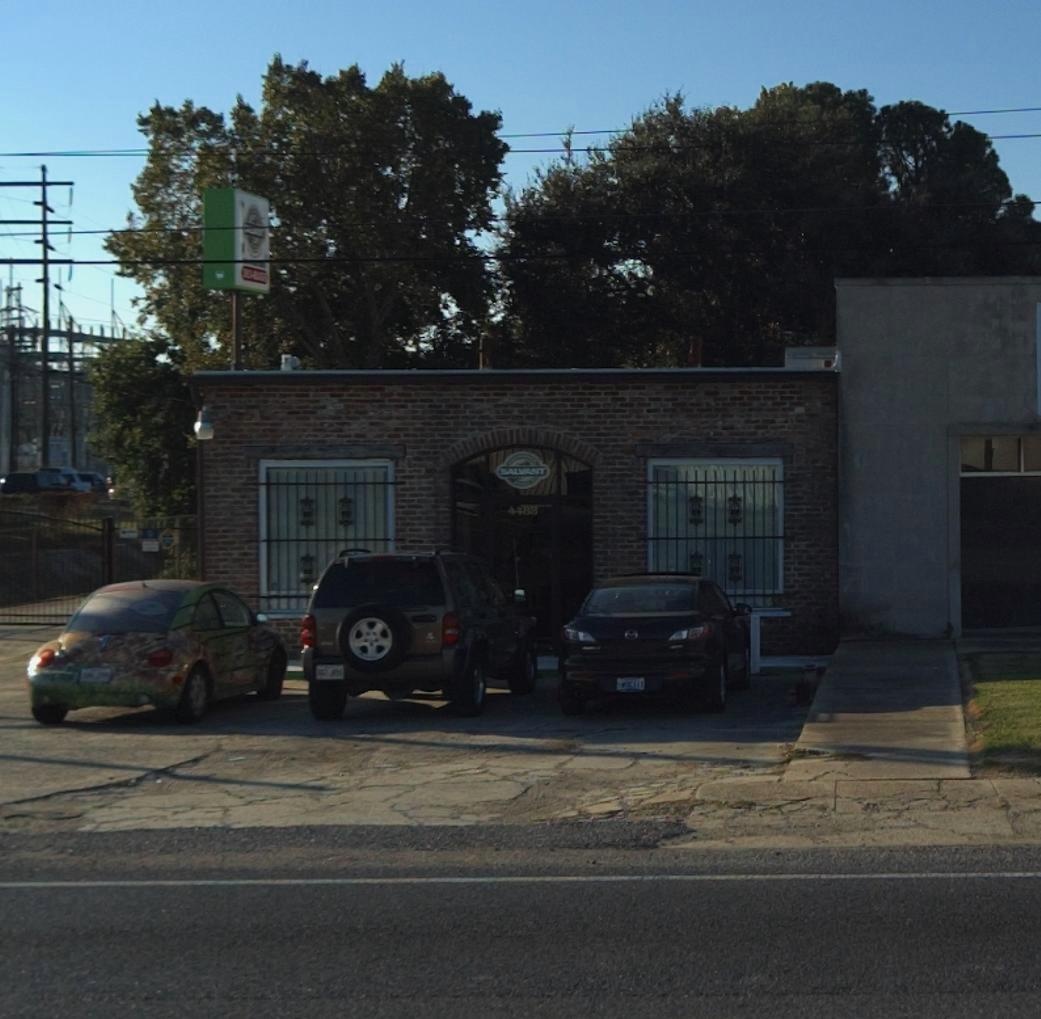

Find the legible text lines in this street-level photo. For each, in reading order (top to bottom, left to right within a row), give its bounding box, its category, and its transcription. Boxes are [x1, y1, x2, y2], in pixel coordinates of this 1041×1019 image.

[499, 466, 547, 477] BusinessName: BALMANT
[506, 502, 541, 519] StreetNumber: 4489